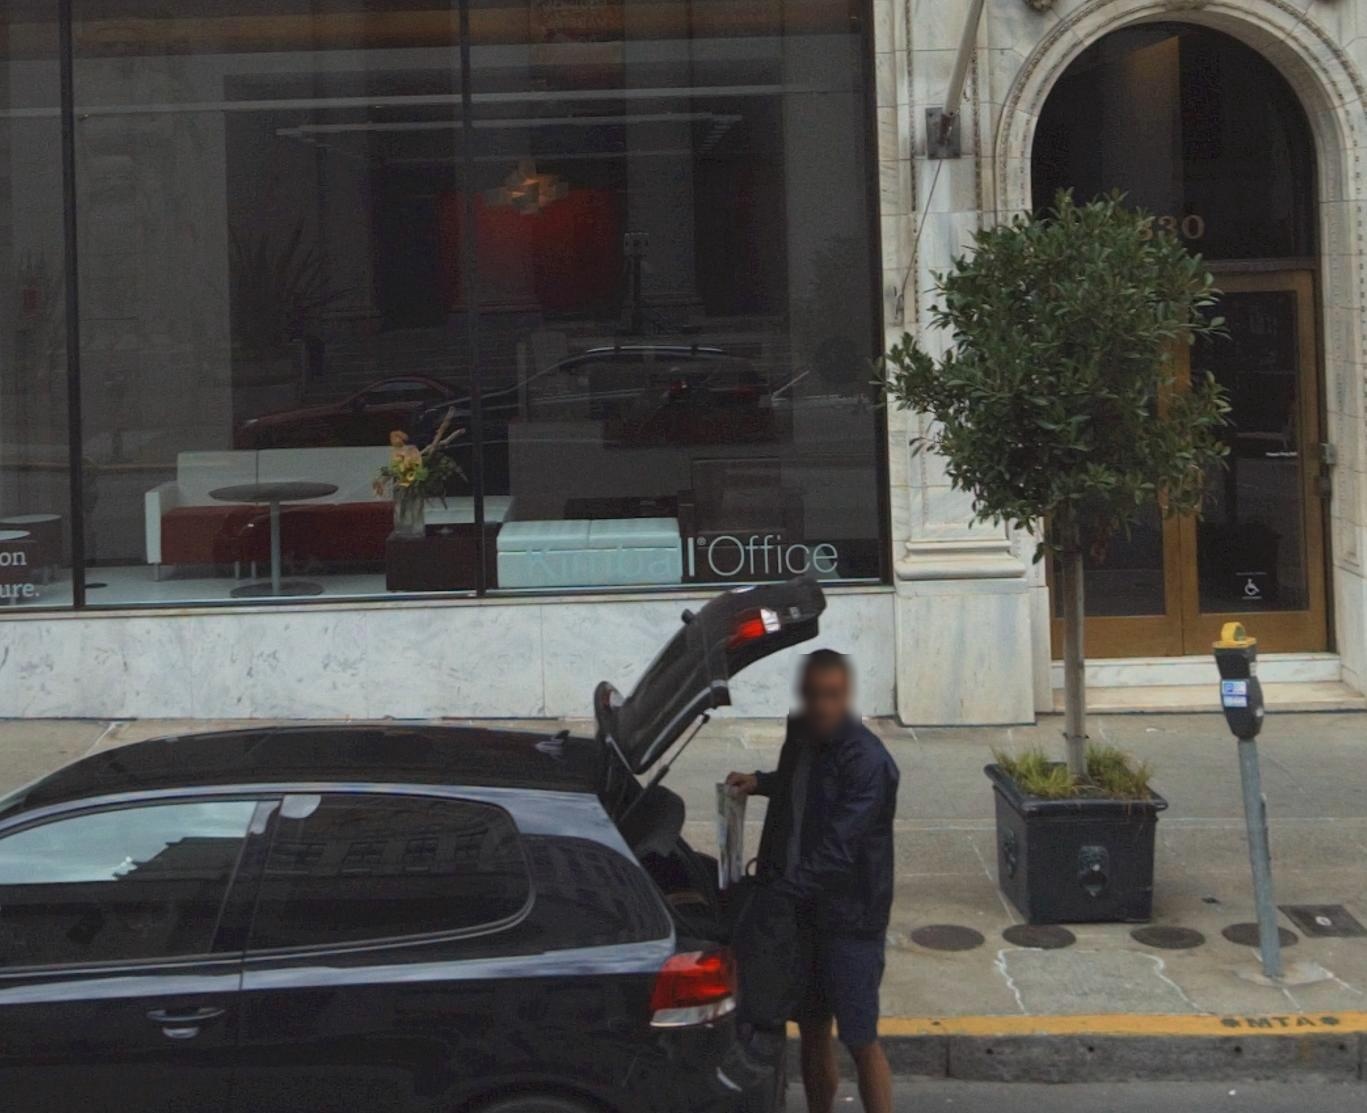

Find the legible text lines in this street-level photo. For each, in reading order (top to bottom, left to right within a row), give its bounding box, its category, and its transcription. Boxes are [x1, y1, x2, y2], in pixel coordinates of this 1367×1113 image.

[1179, 210, 1210, 243] StreetNumber: 0
[9, 549, 30, 568] None: n
[523, 530, 841, 587] BusinessName: Kimball*Office
[9, 579, 42, 602] None: re.
[1241, 1013, 1322, 1031] None: MTA